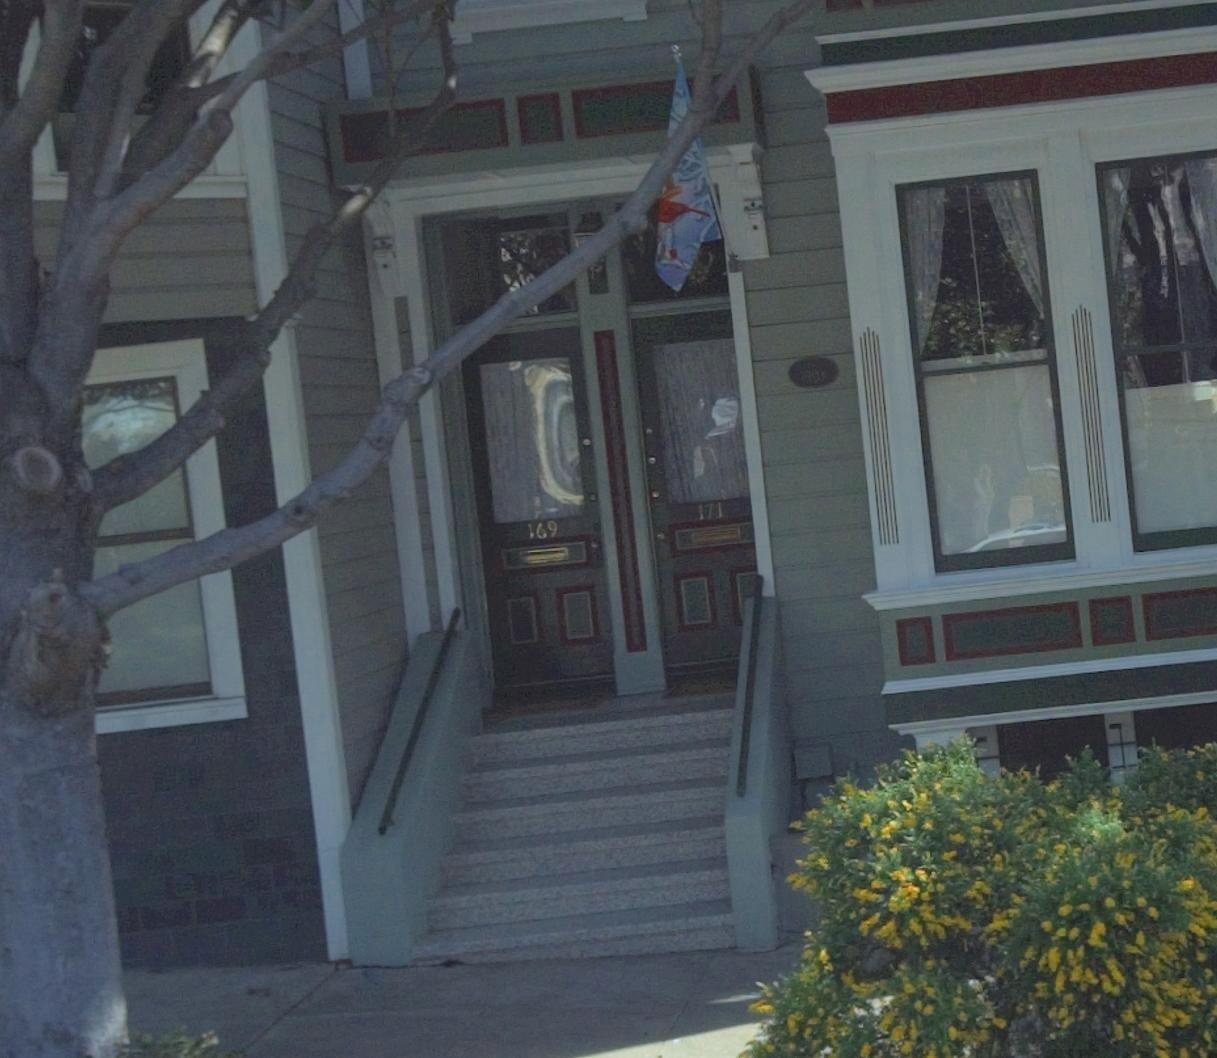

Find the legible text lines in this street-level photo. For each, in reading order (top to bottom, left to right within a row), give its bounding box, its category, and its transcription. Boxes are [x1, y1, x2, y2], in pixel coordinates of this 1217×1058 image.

[696, 500, 726, 522] StreetNumber: 171
[525, 518, 558, 542] StreetNumber: 169